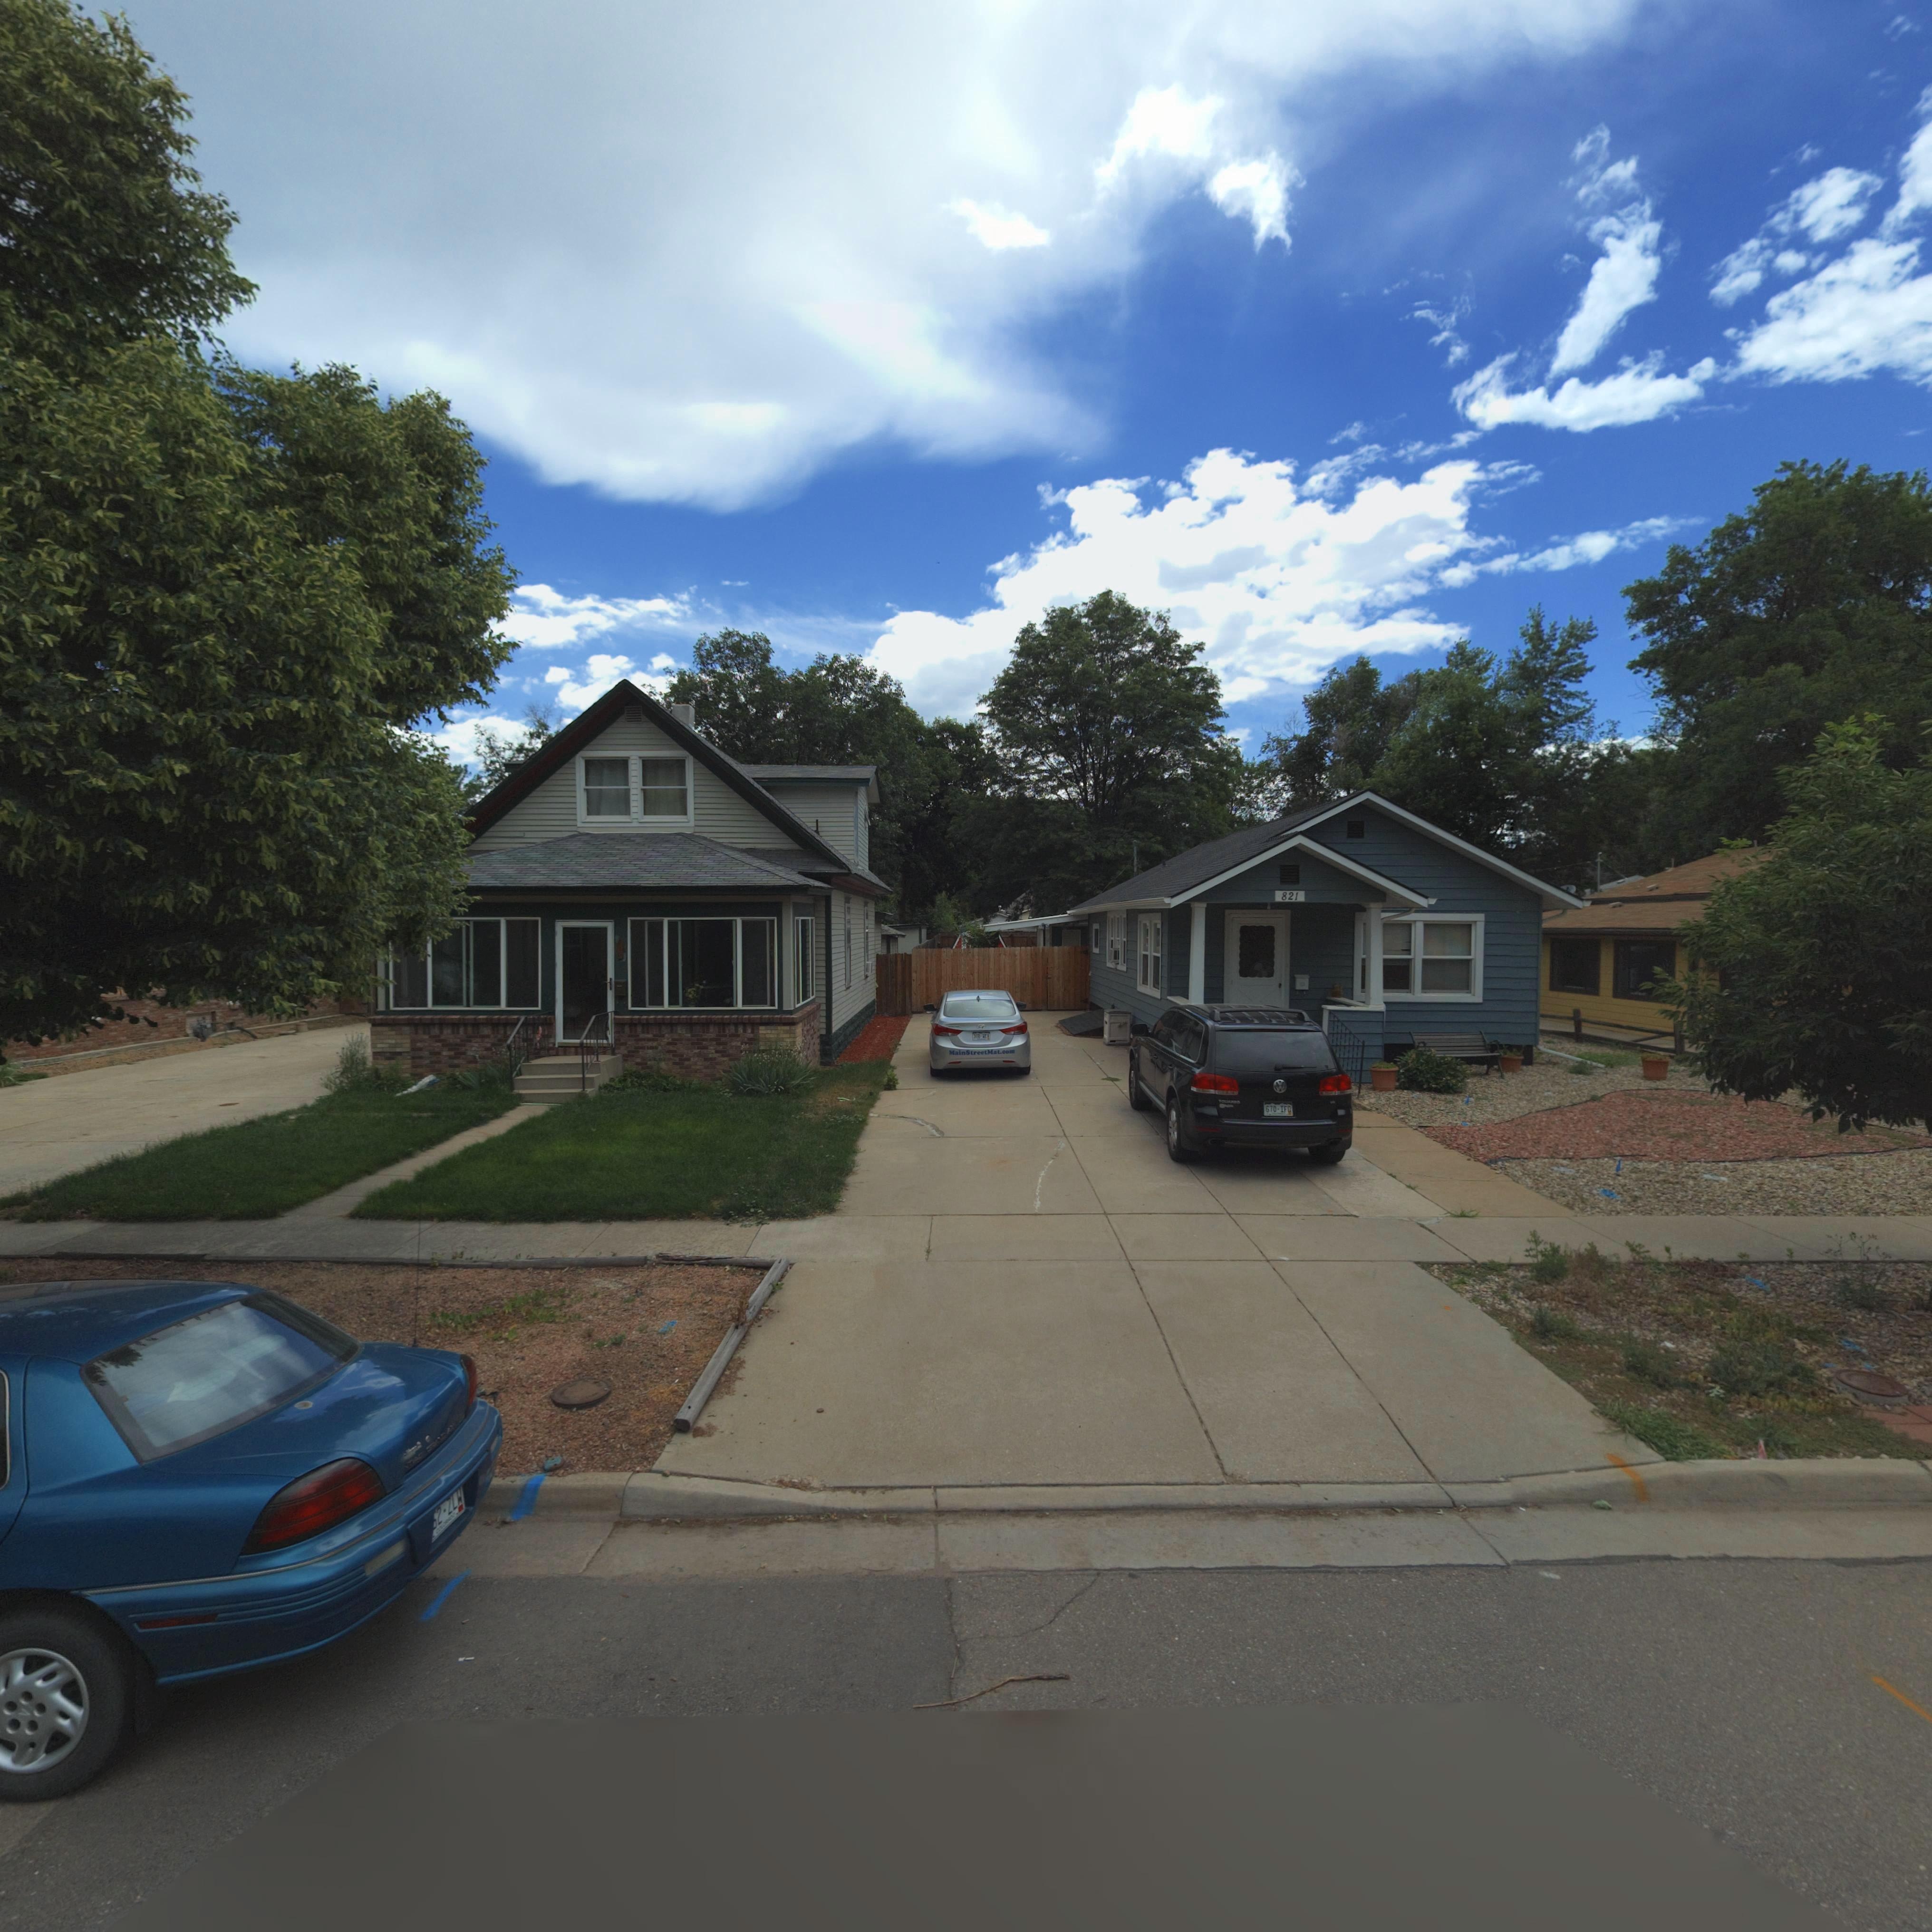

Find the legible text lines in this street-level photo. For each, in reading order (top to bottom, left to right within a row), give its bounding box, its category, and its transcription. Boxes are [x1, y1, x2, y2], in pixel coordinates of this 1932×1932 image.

[1281, 891, 1298, 900] StreetNumber: 821
[617, 939, 623, 959] StreetNumber: 81*